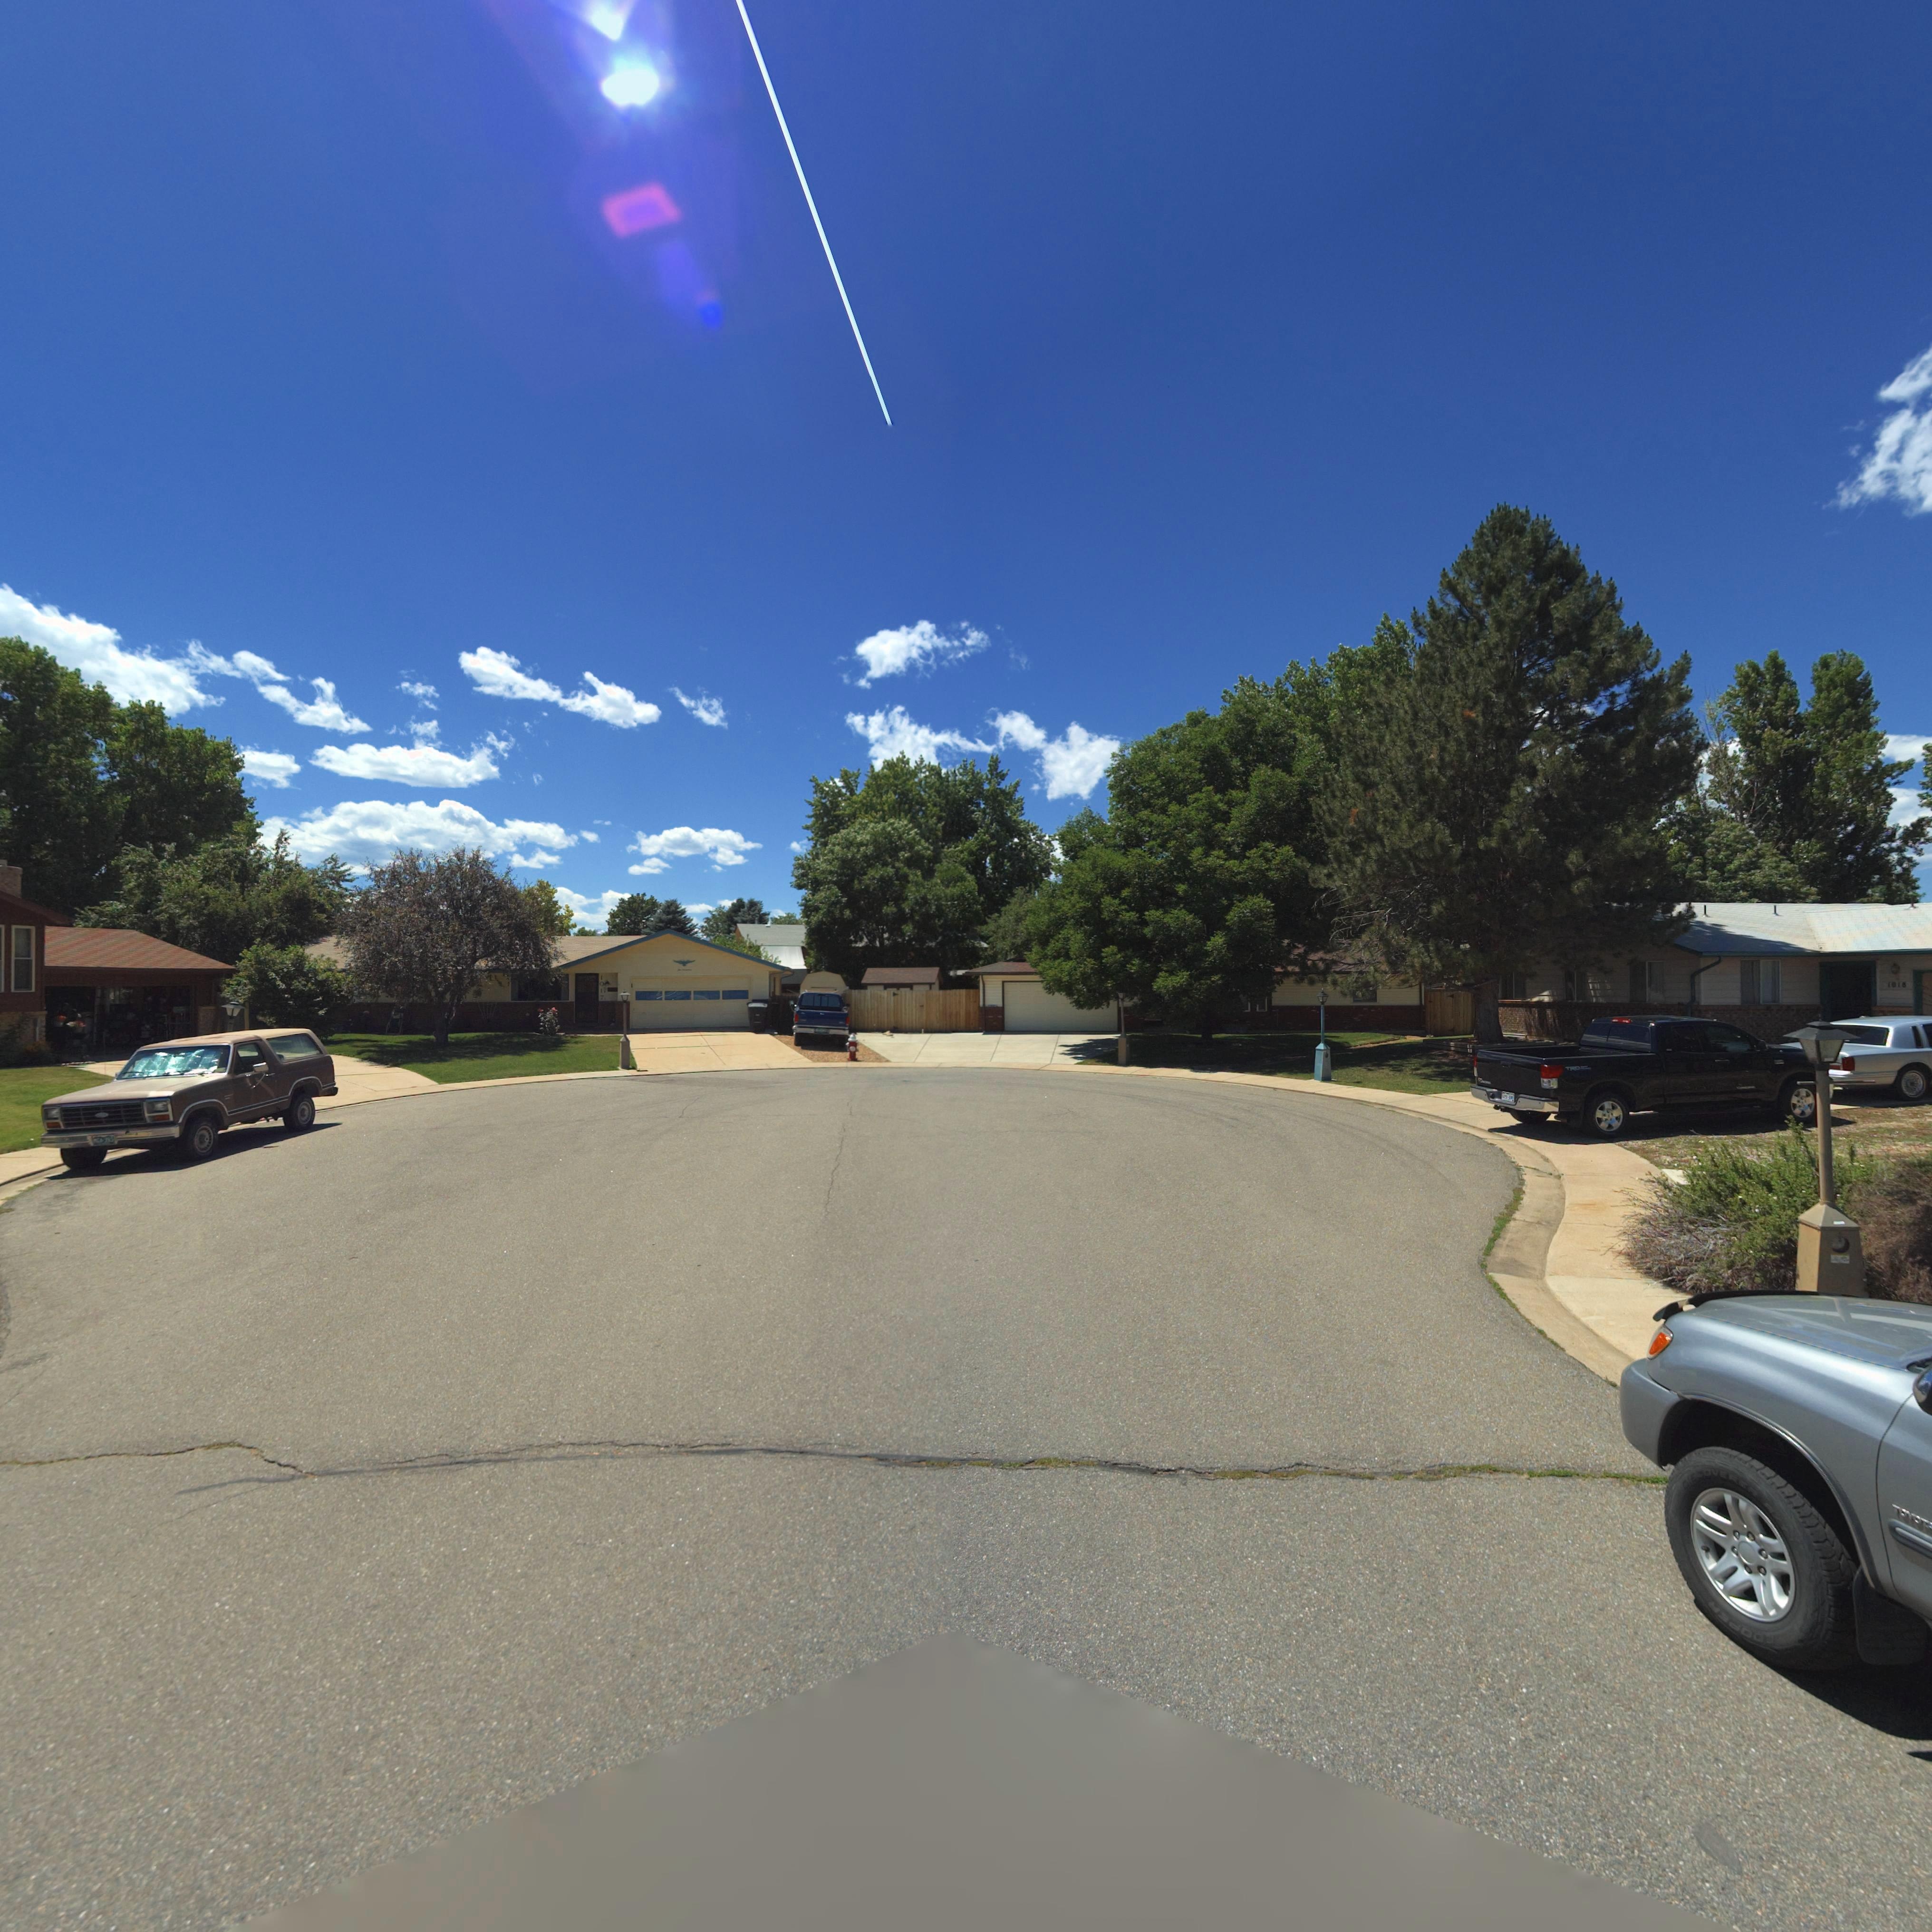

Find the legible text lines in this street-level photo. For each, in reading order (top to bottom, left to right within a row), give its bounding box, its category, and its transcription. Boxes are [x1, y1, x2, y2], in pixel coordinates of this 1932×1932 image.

[599, 975, 604, 1000] StreetNumber: 1017
[1887, 981, 1907, 988] StreetNumber: 1018